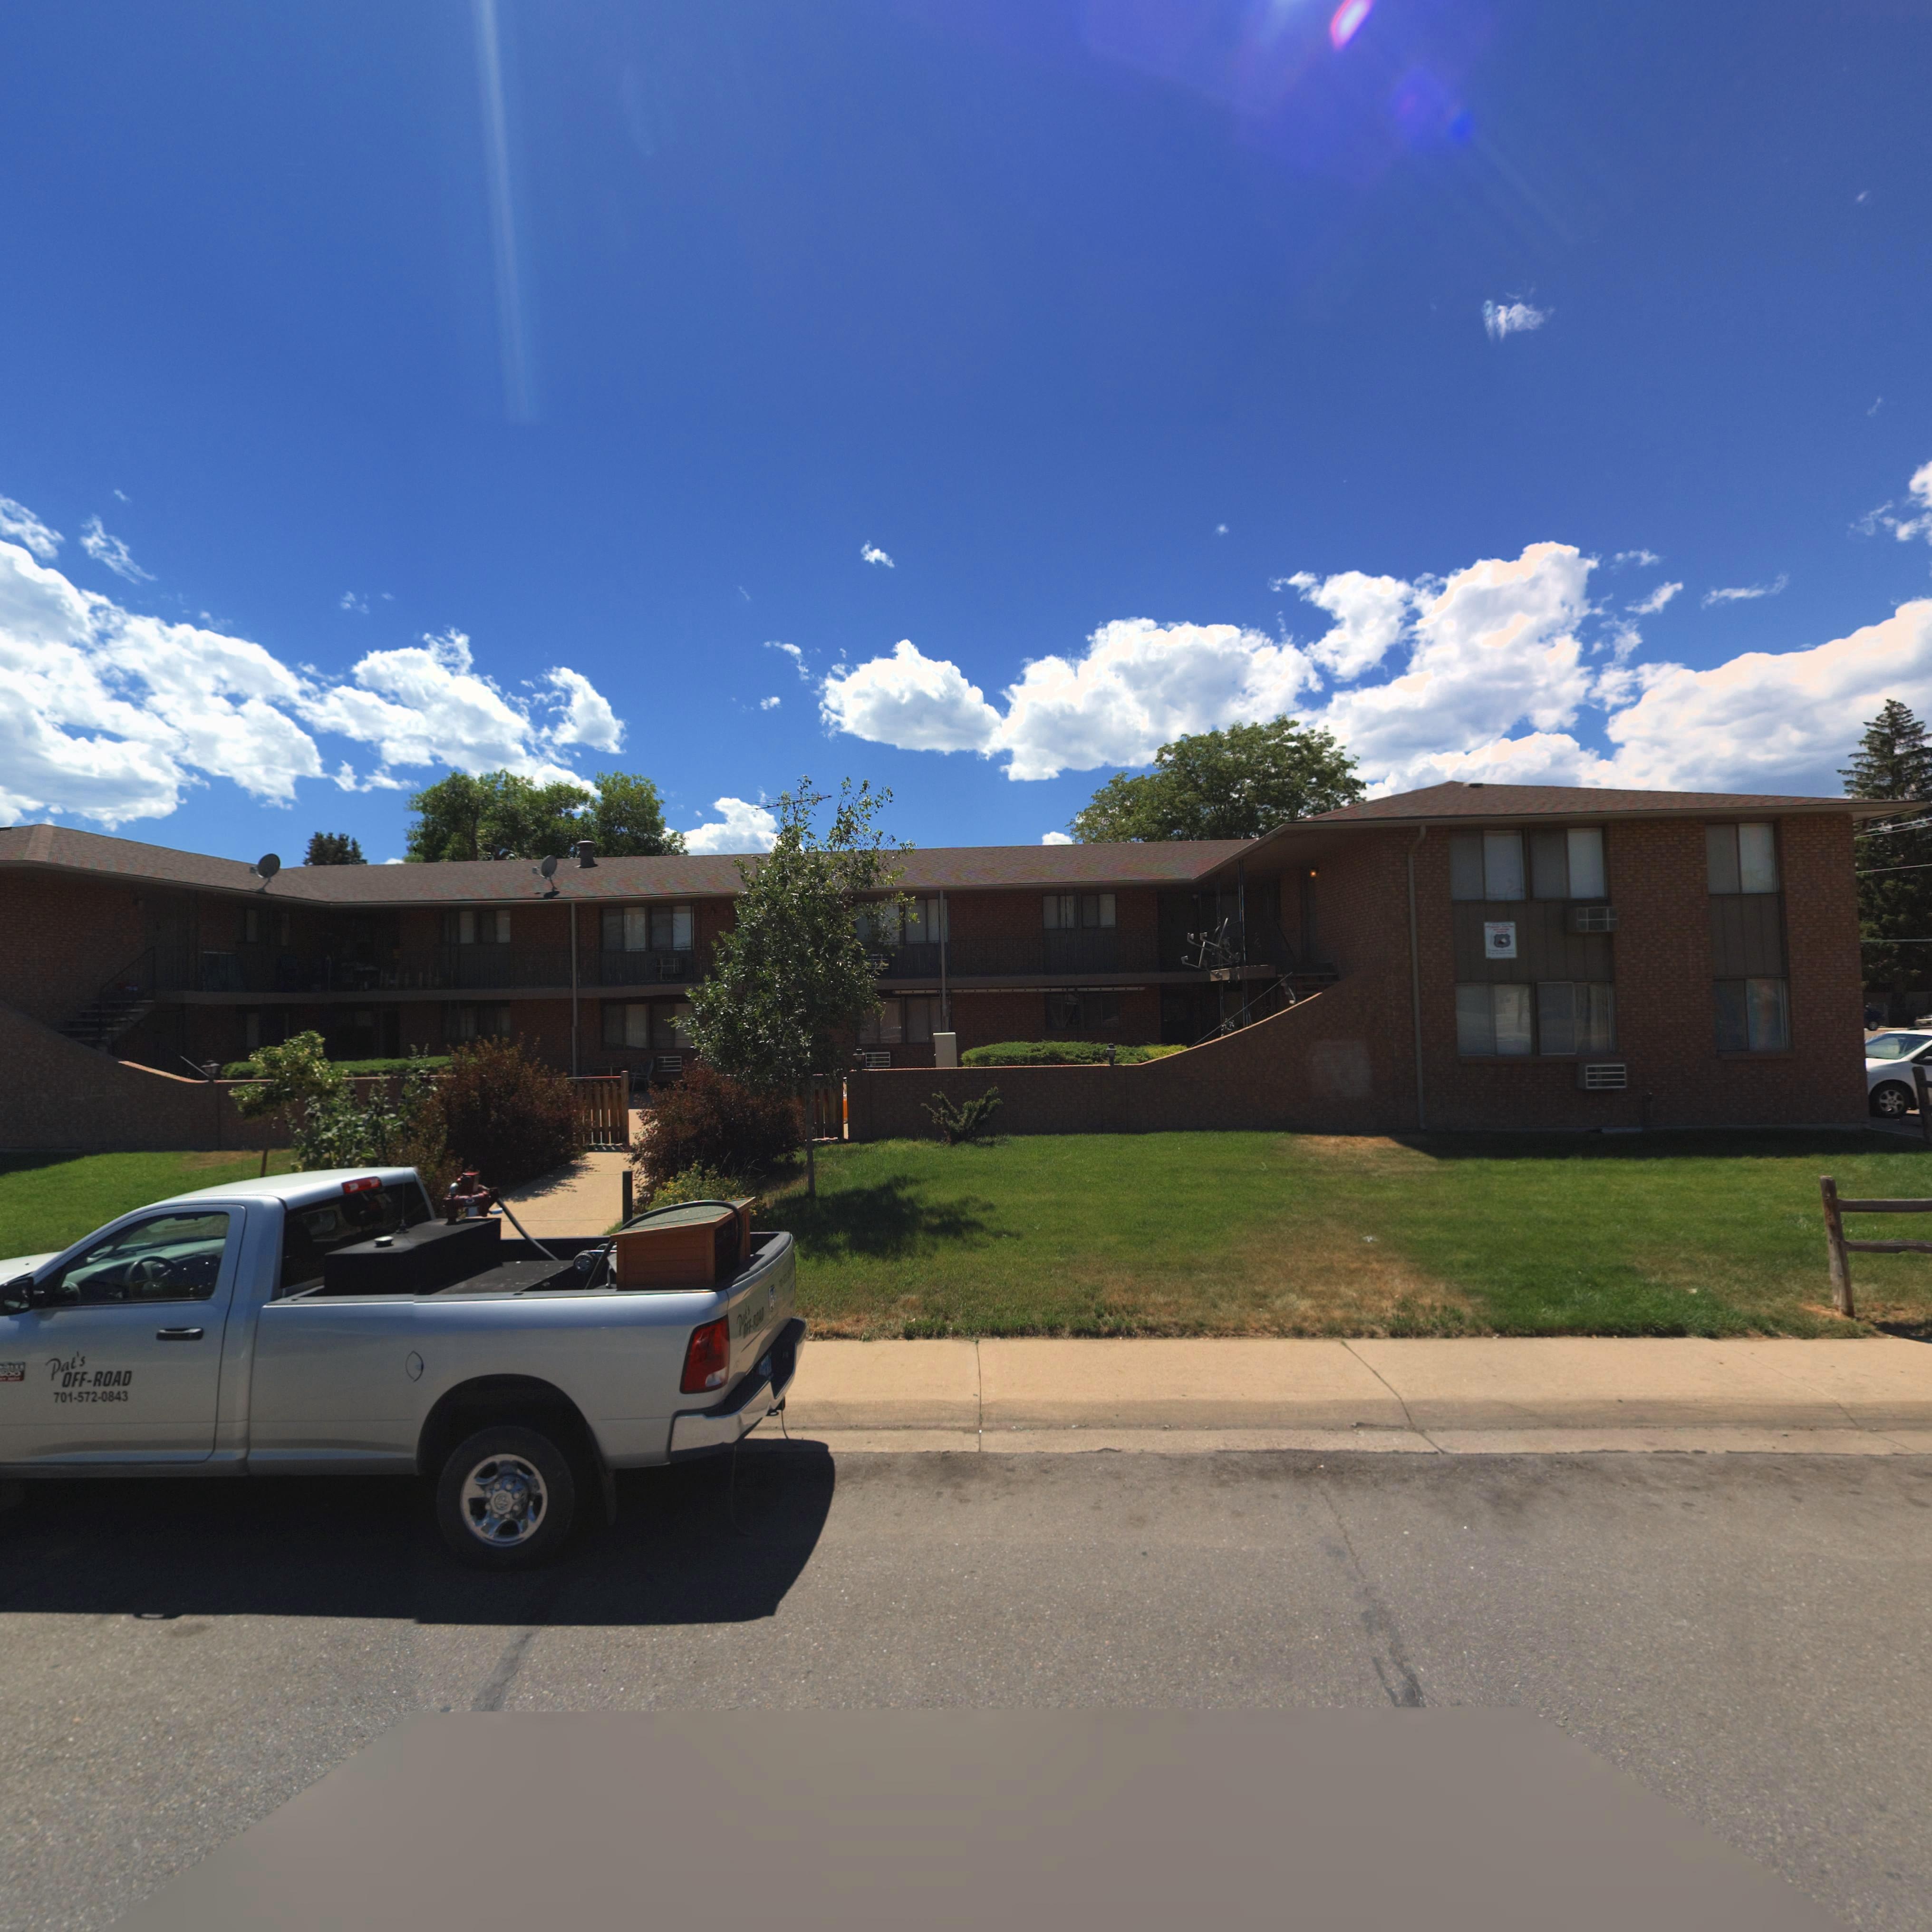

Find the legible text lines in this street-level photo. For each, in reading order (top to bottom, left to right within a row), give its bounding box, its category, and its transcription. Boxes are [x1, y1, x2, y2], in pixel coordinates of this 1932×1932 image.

[740, 984, 750, 992] StreetNumber: 1*